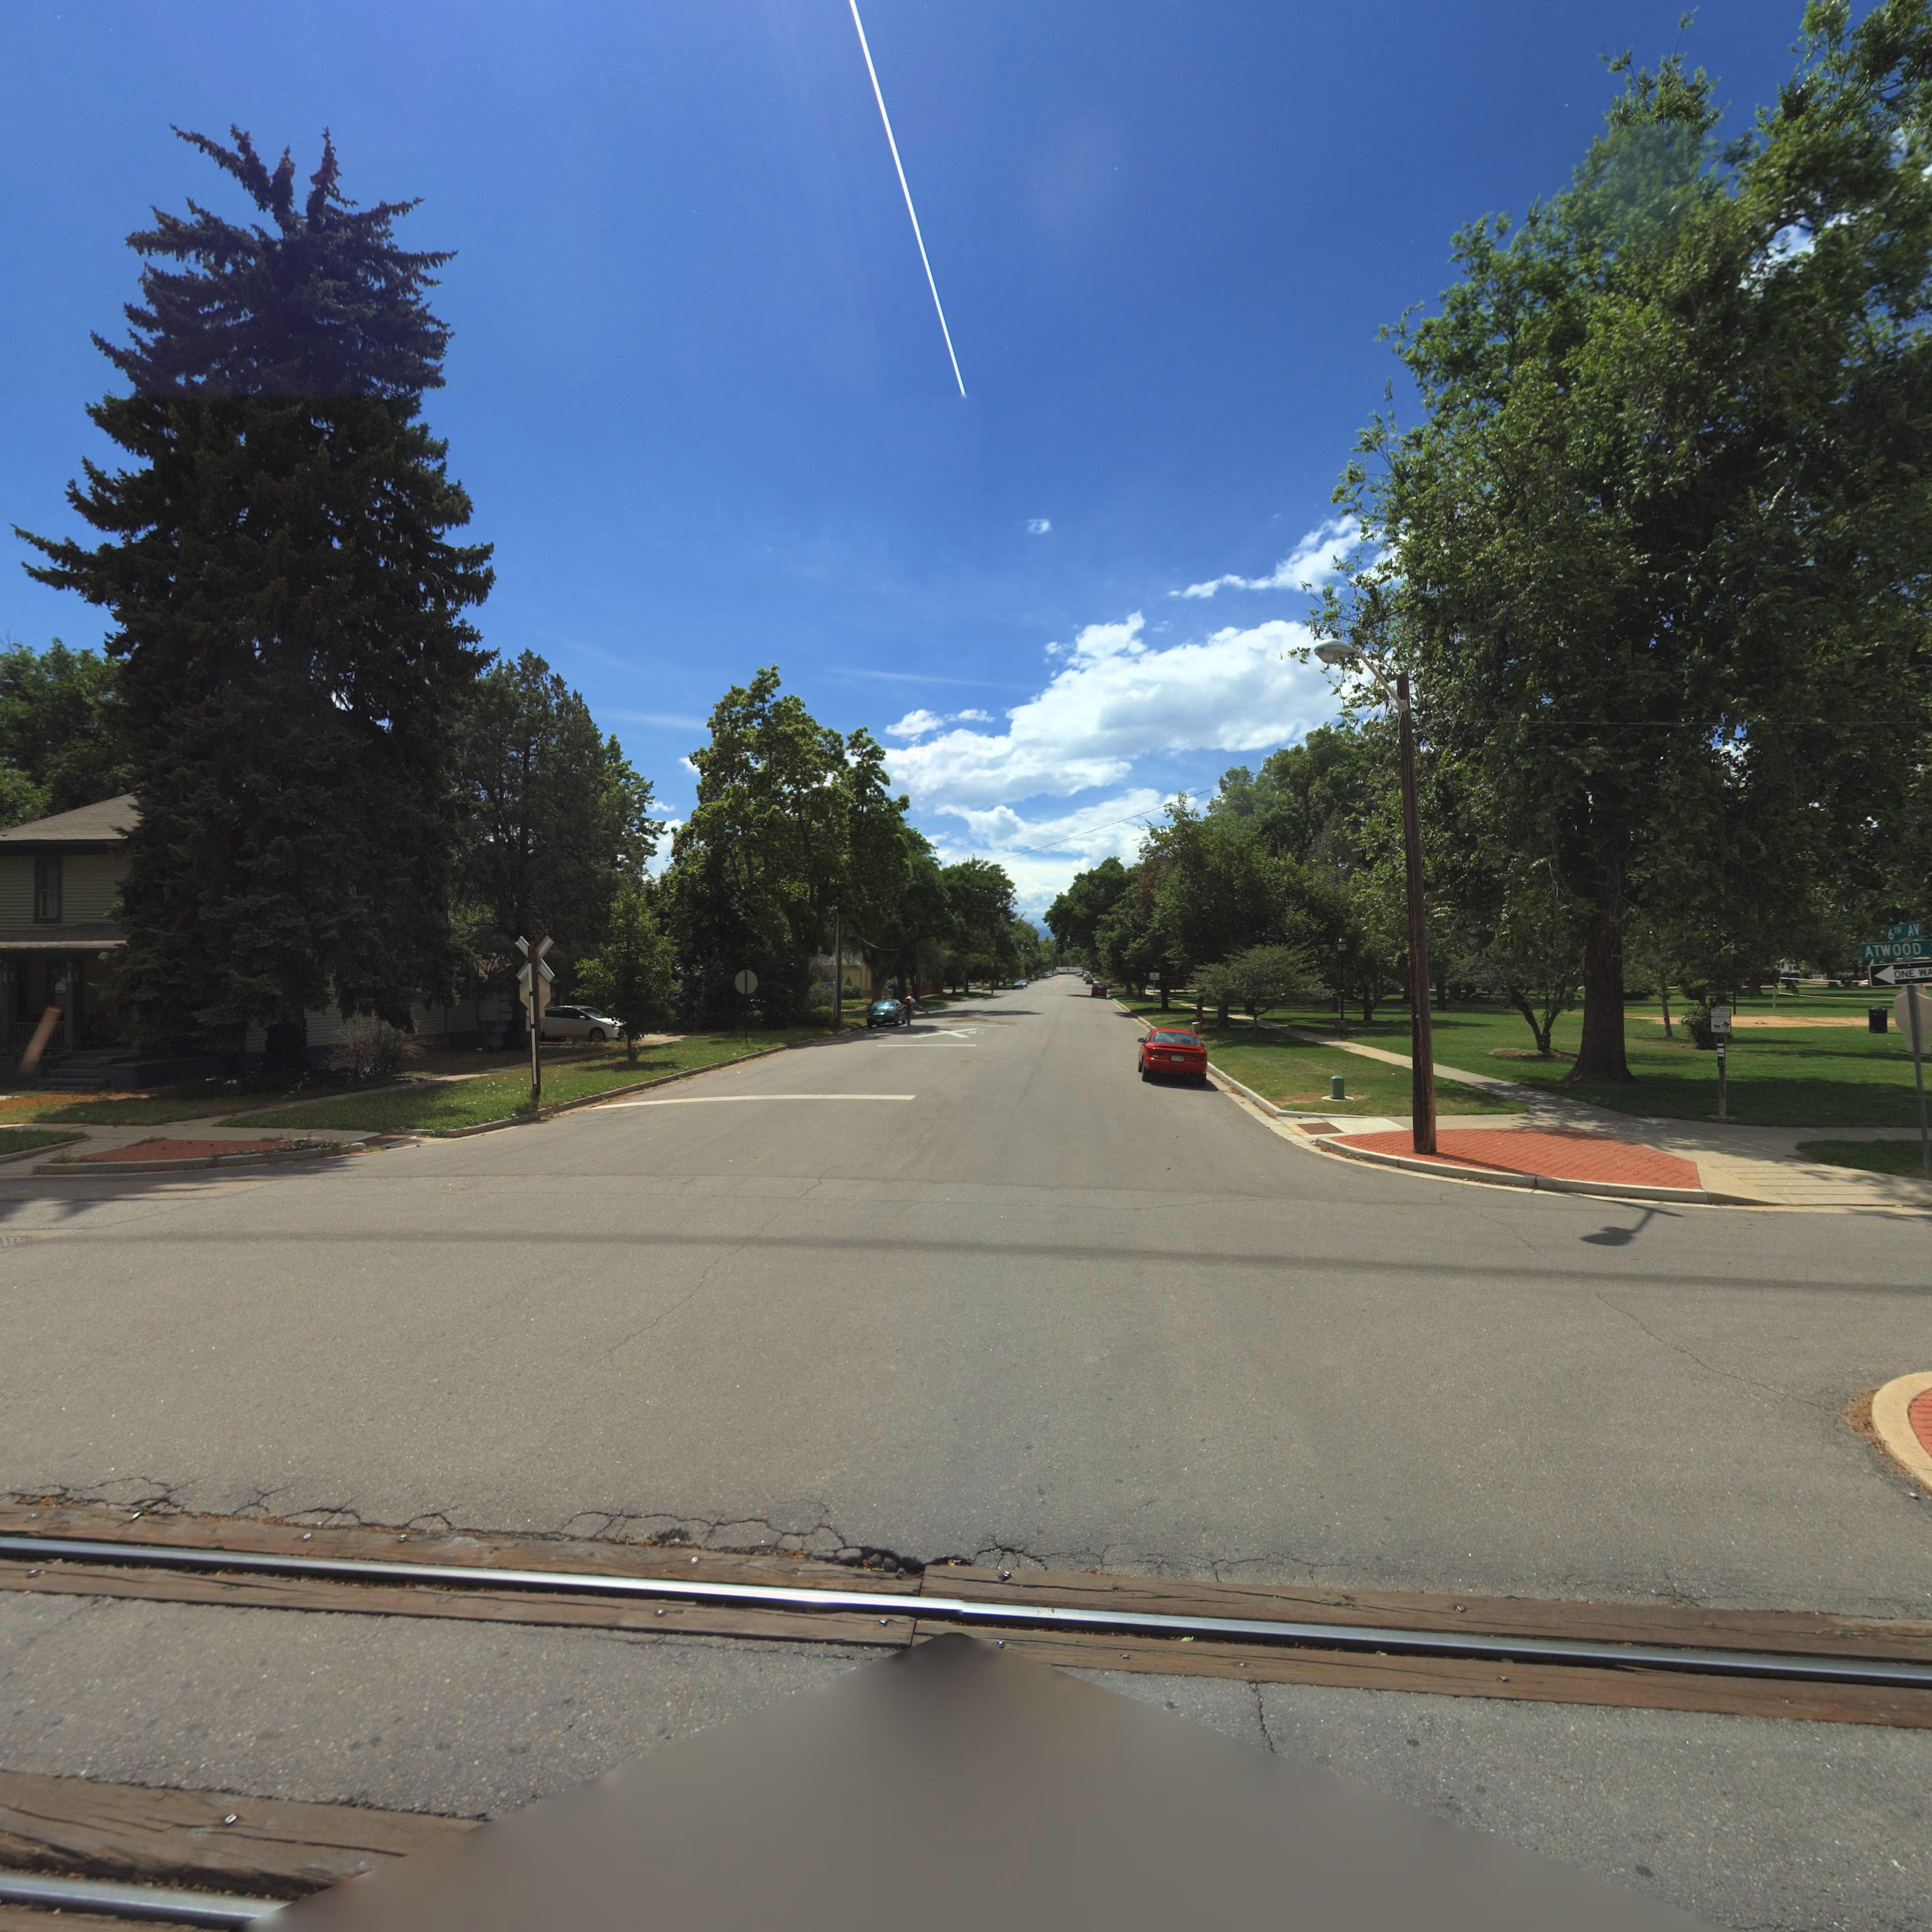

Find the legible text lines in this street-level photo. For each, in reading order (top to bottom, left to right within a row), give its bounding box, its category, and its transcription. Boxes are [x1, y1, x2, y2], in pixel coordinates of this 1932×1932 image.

[1887, 922, 1919, 940] StreetName: 6TH AV
[1865, 942, 1922, 957] StreetName: ATWOOD